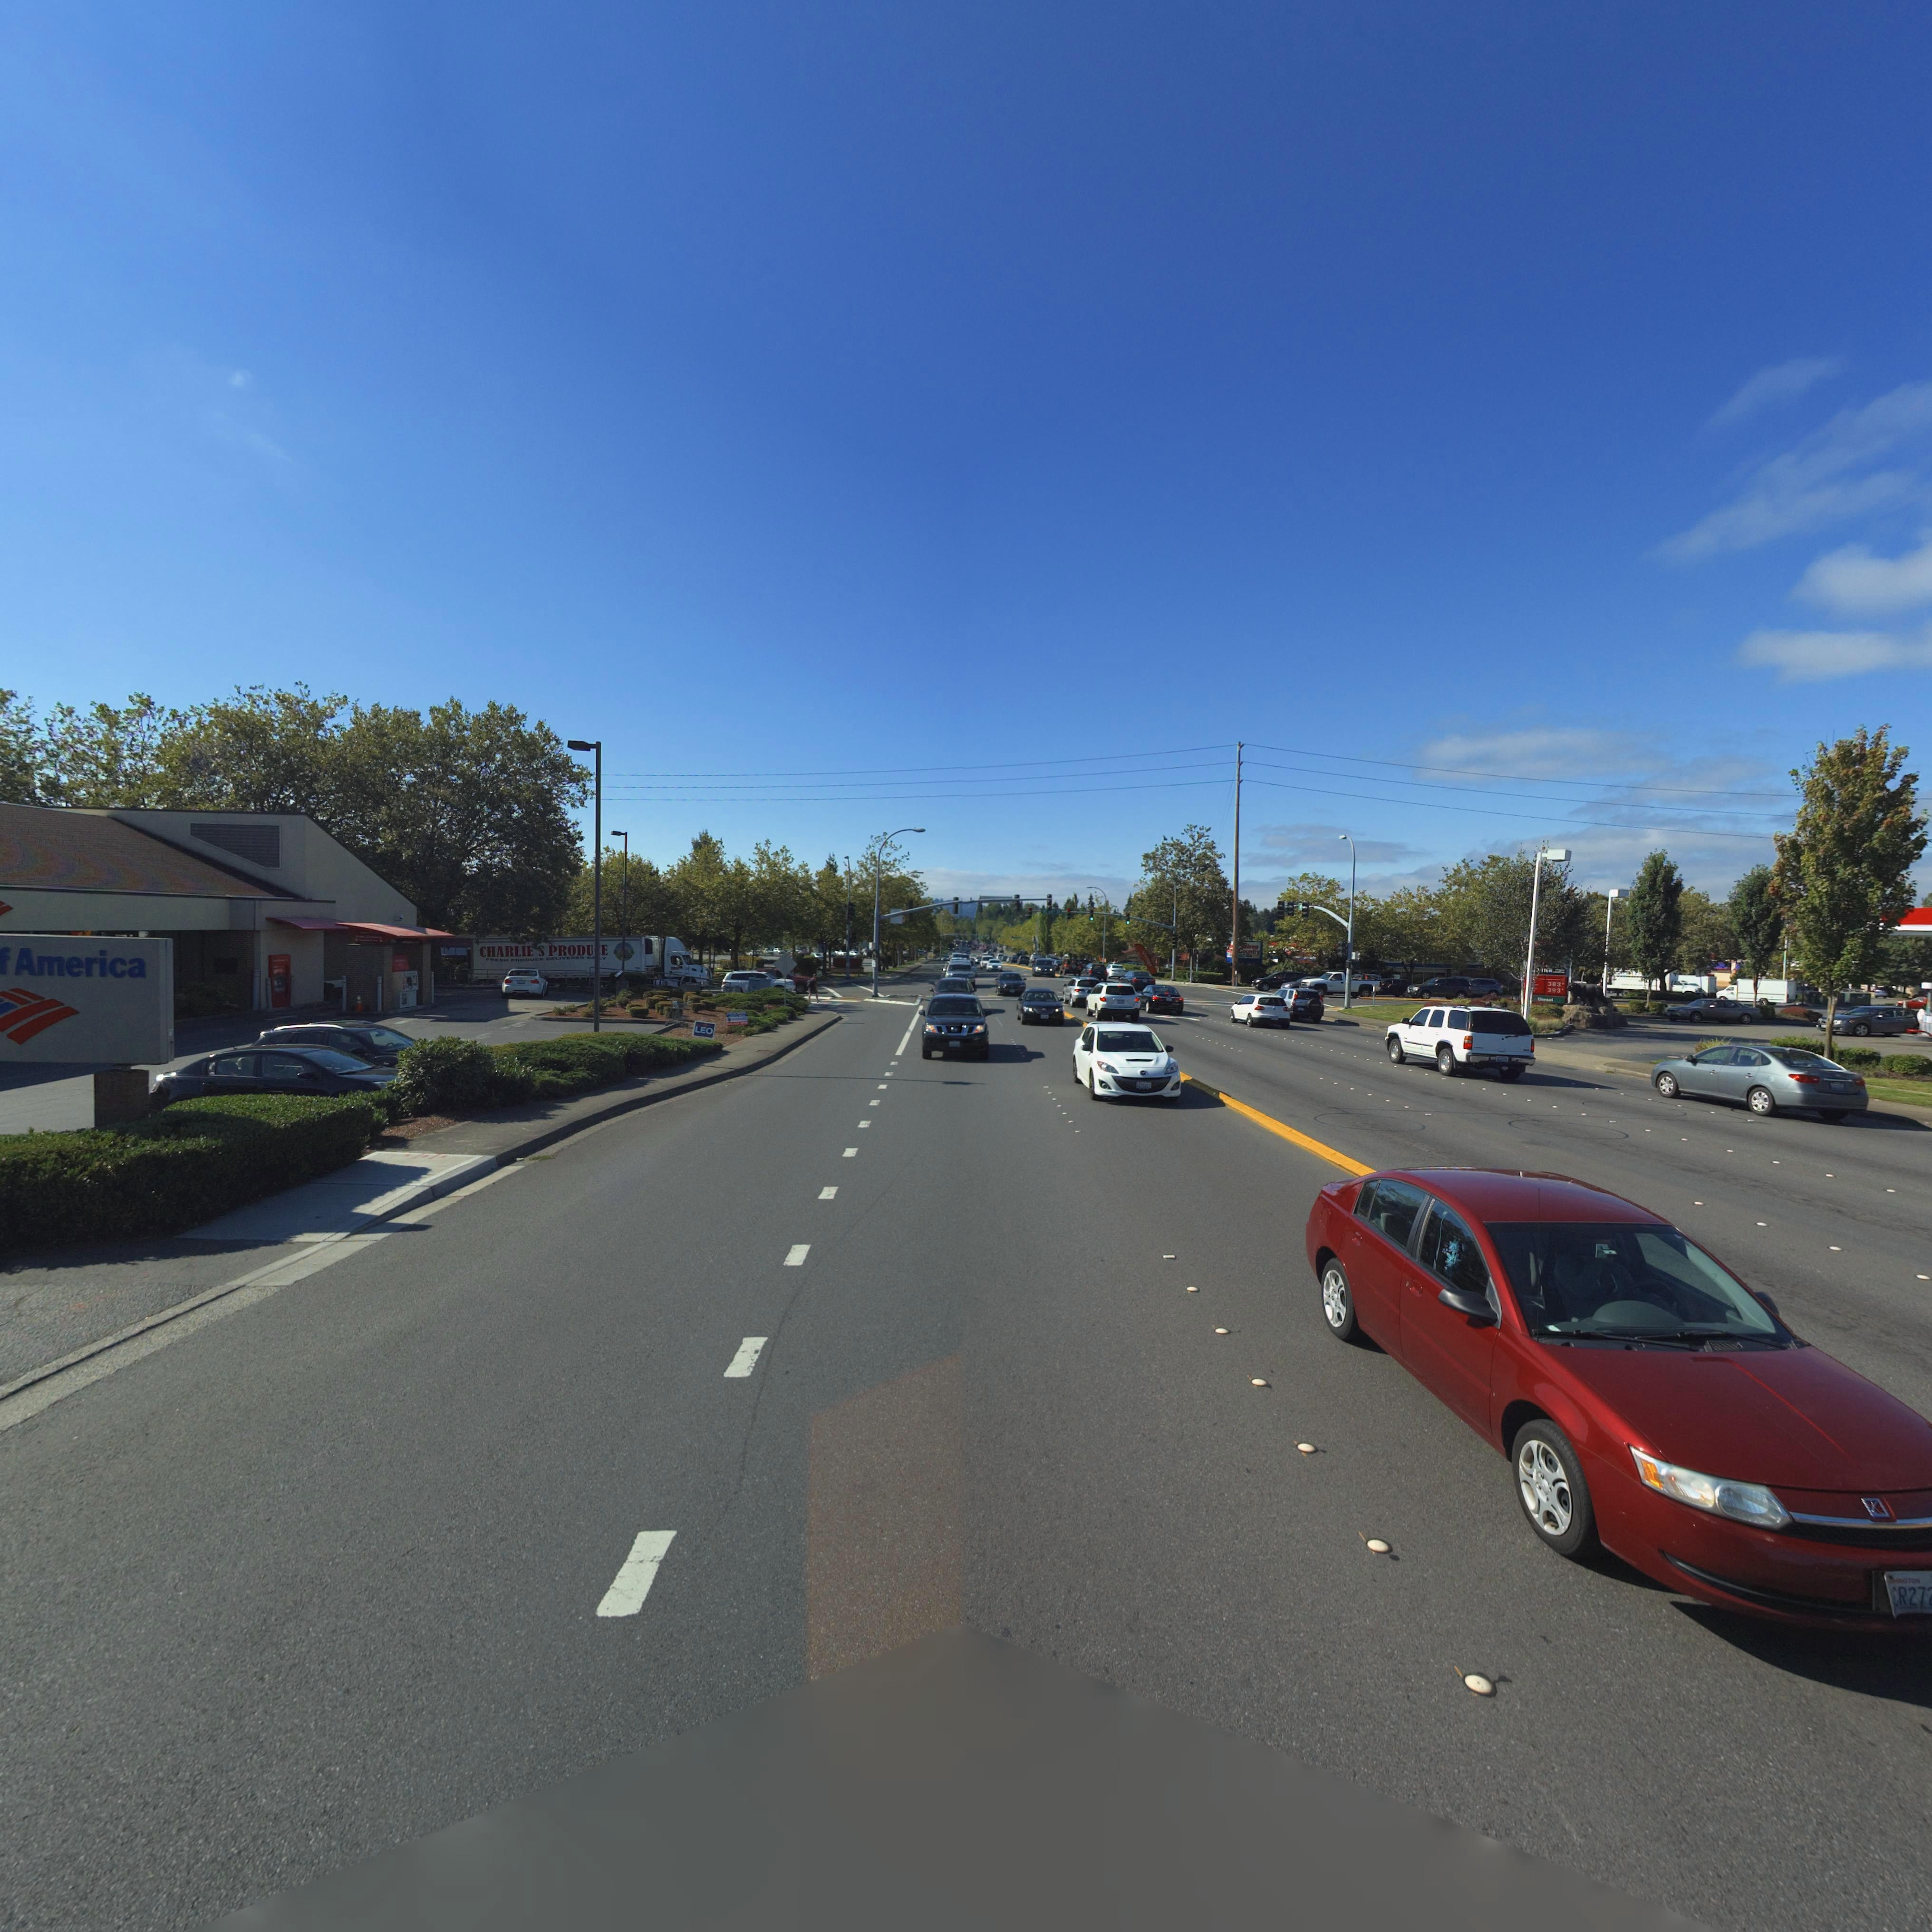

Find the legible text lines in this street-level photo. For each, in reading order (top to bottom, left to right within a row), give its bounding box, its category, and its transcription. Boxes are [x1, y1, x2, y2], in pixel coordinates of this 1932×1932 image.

[10, 945, 150, 980] BusinessName: America